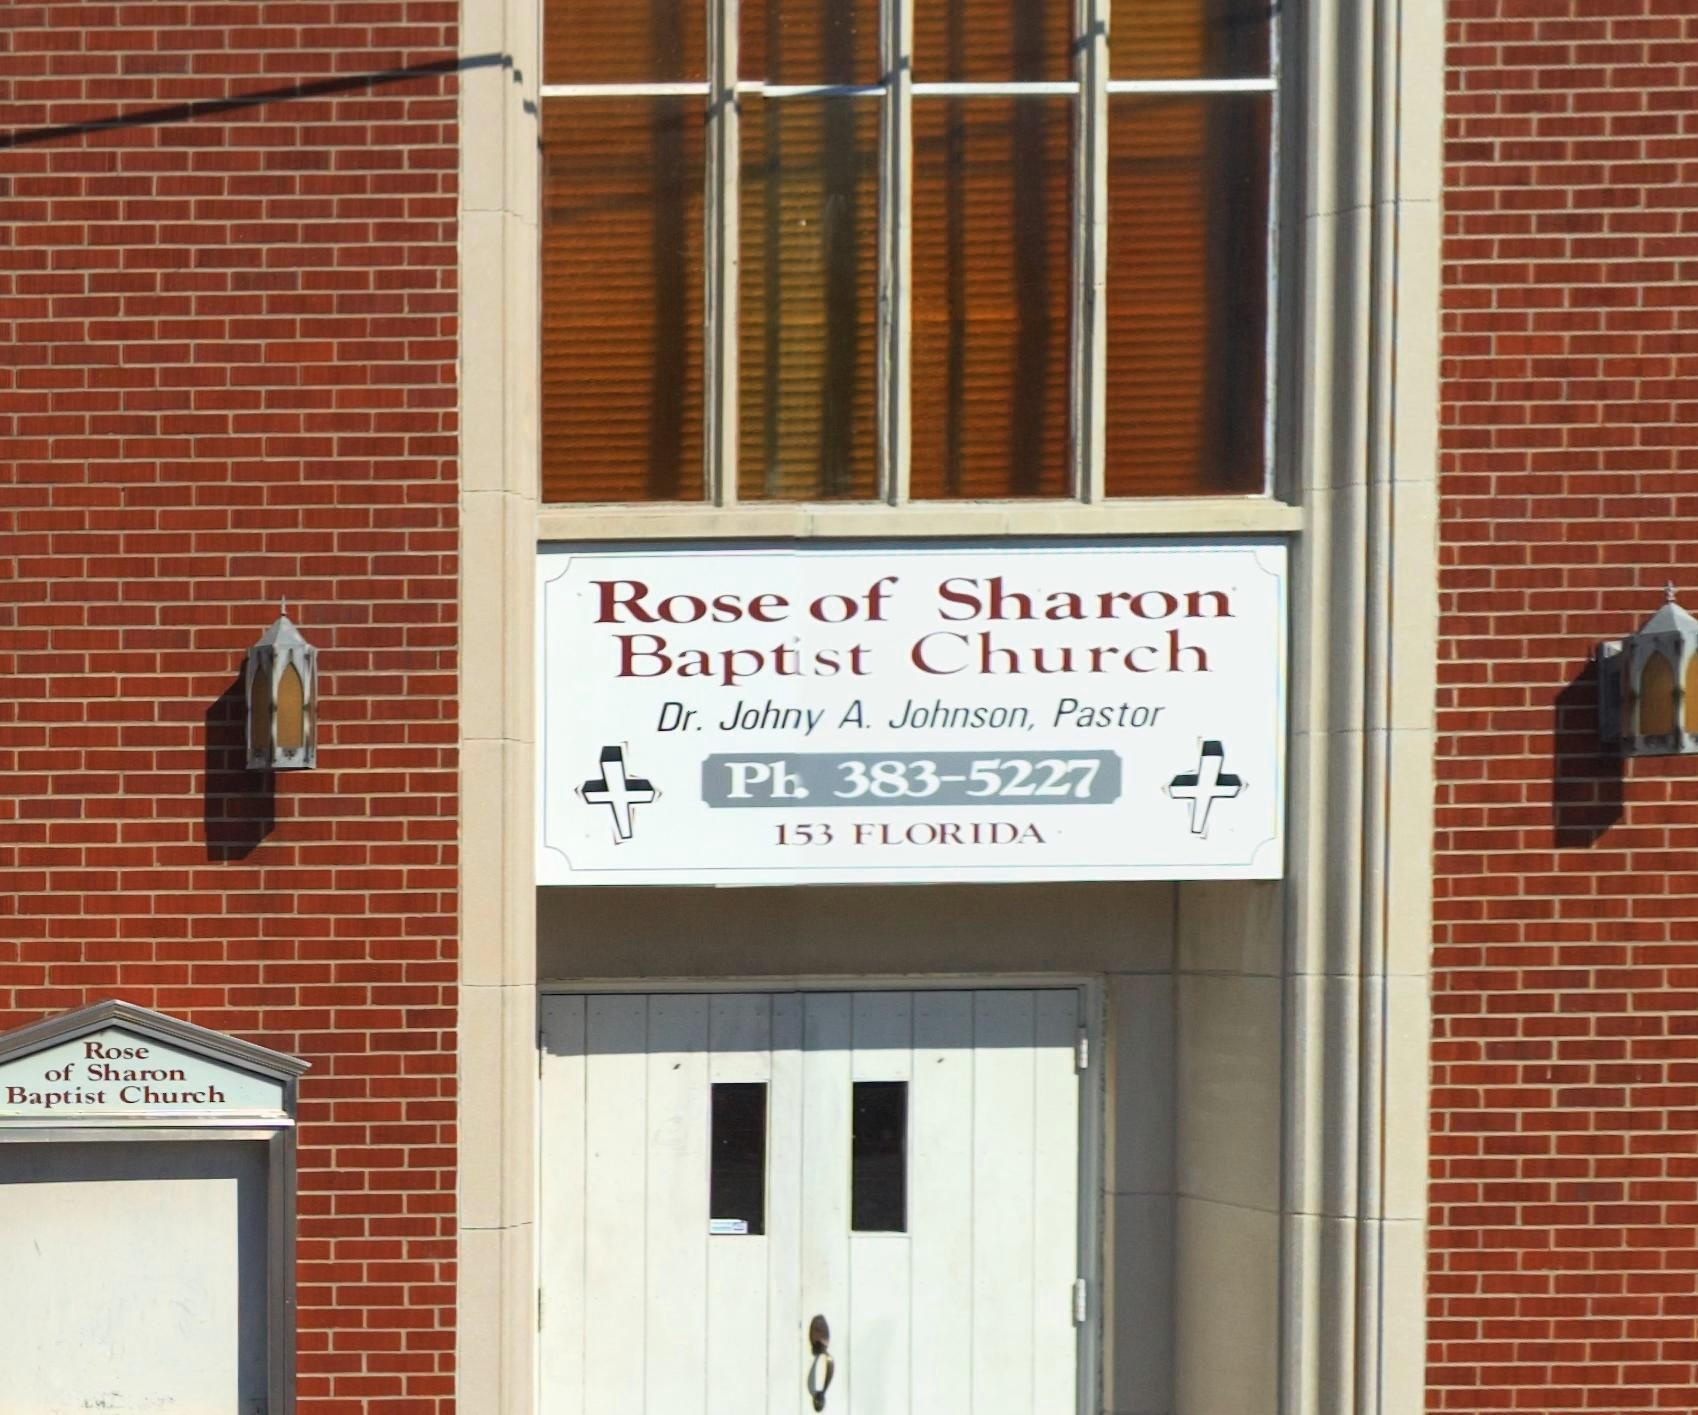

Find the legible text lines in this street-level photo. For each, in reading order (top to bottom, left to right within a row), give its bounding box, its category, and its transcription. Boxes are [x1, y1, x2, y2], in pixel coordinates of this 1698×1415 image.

[584, 571, 1240, 627] BusinessName: Rose of Sharon
[608, 625, 1216, 693] BusinessName: Baptist Church
[651, 693, 1173, 736] None: Dr. Johny A. Johnson, Pastor
[721, 753, 1107, 802] None: P* 383-5227
[771, 820, 838, 849] StreetNumber: 153
[848, 819, 1055, 848] StreetName: FLORDIA
[81, 1039, 152, 1062] BusinessName: Rose
[41, 1060, 190, 1085] BusinessName: of Shanon
[4, 1082, 227, 1111] BusinessName: Baptist Church